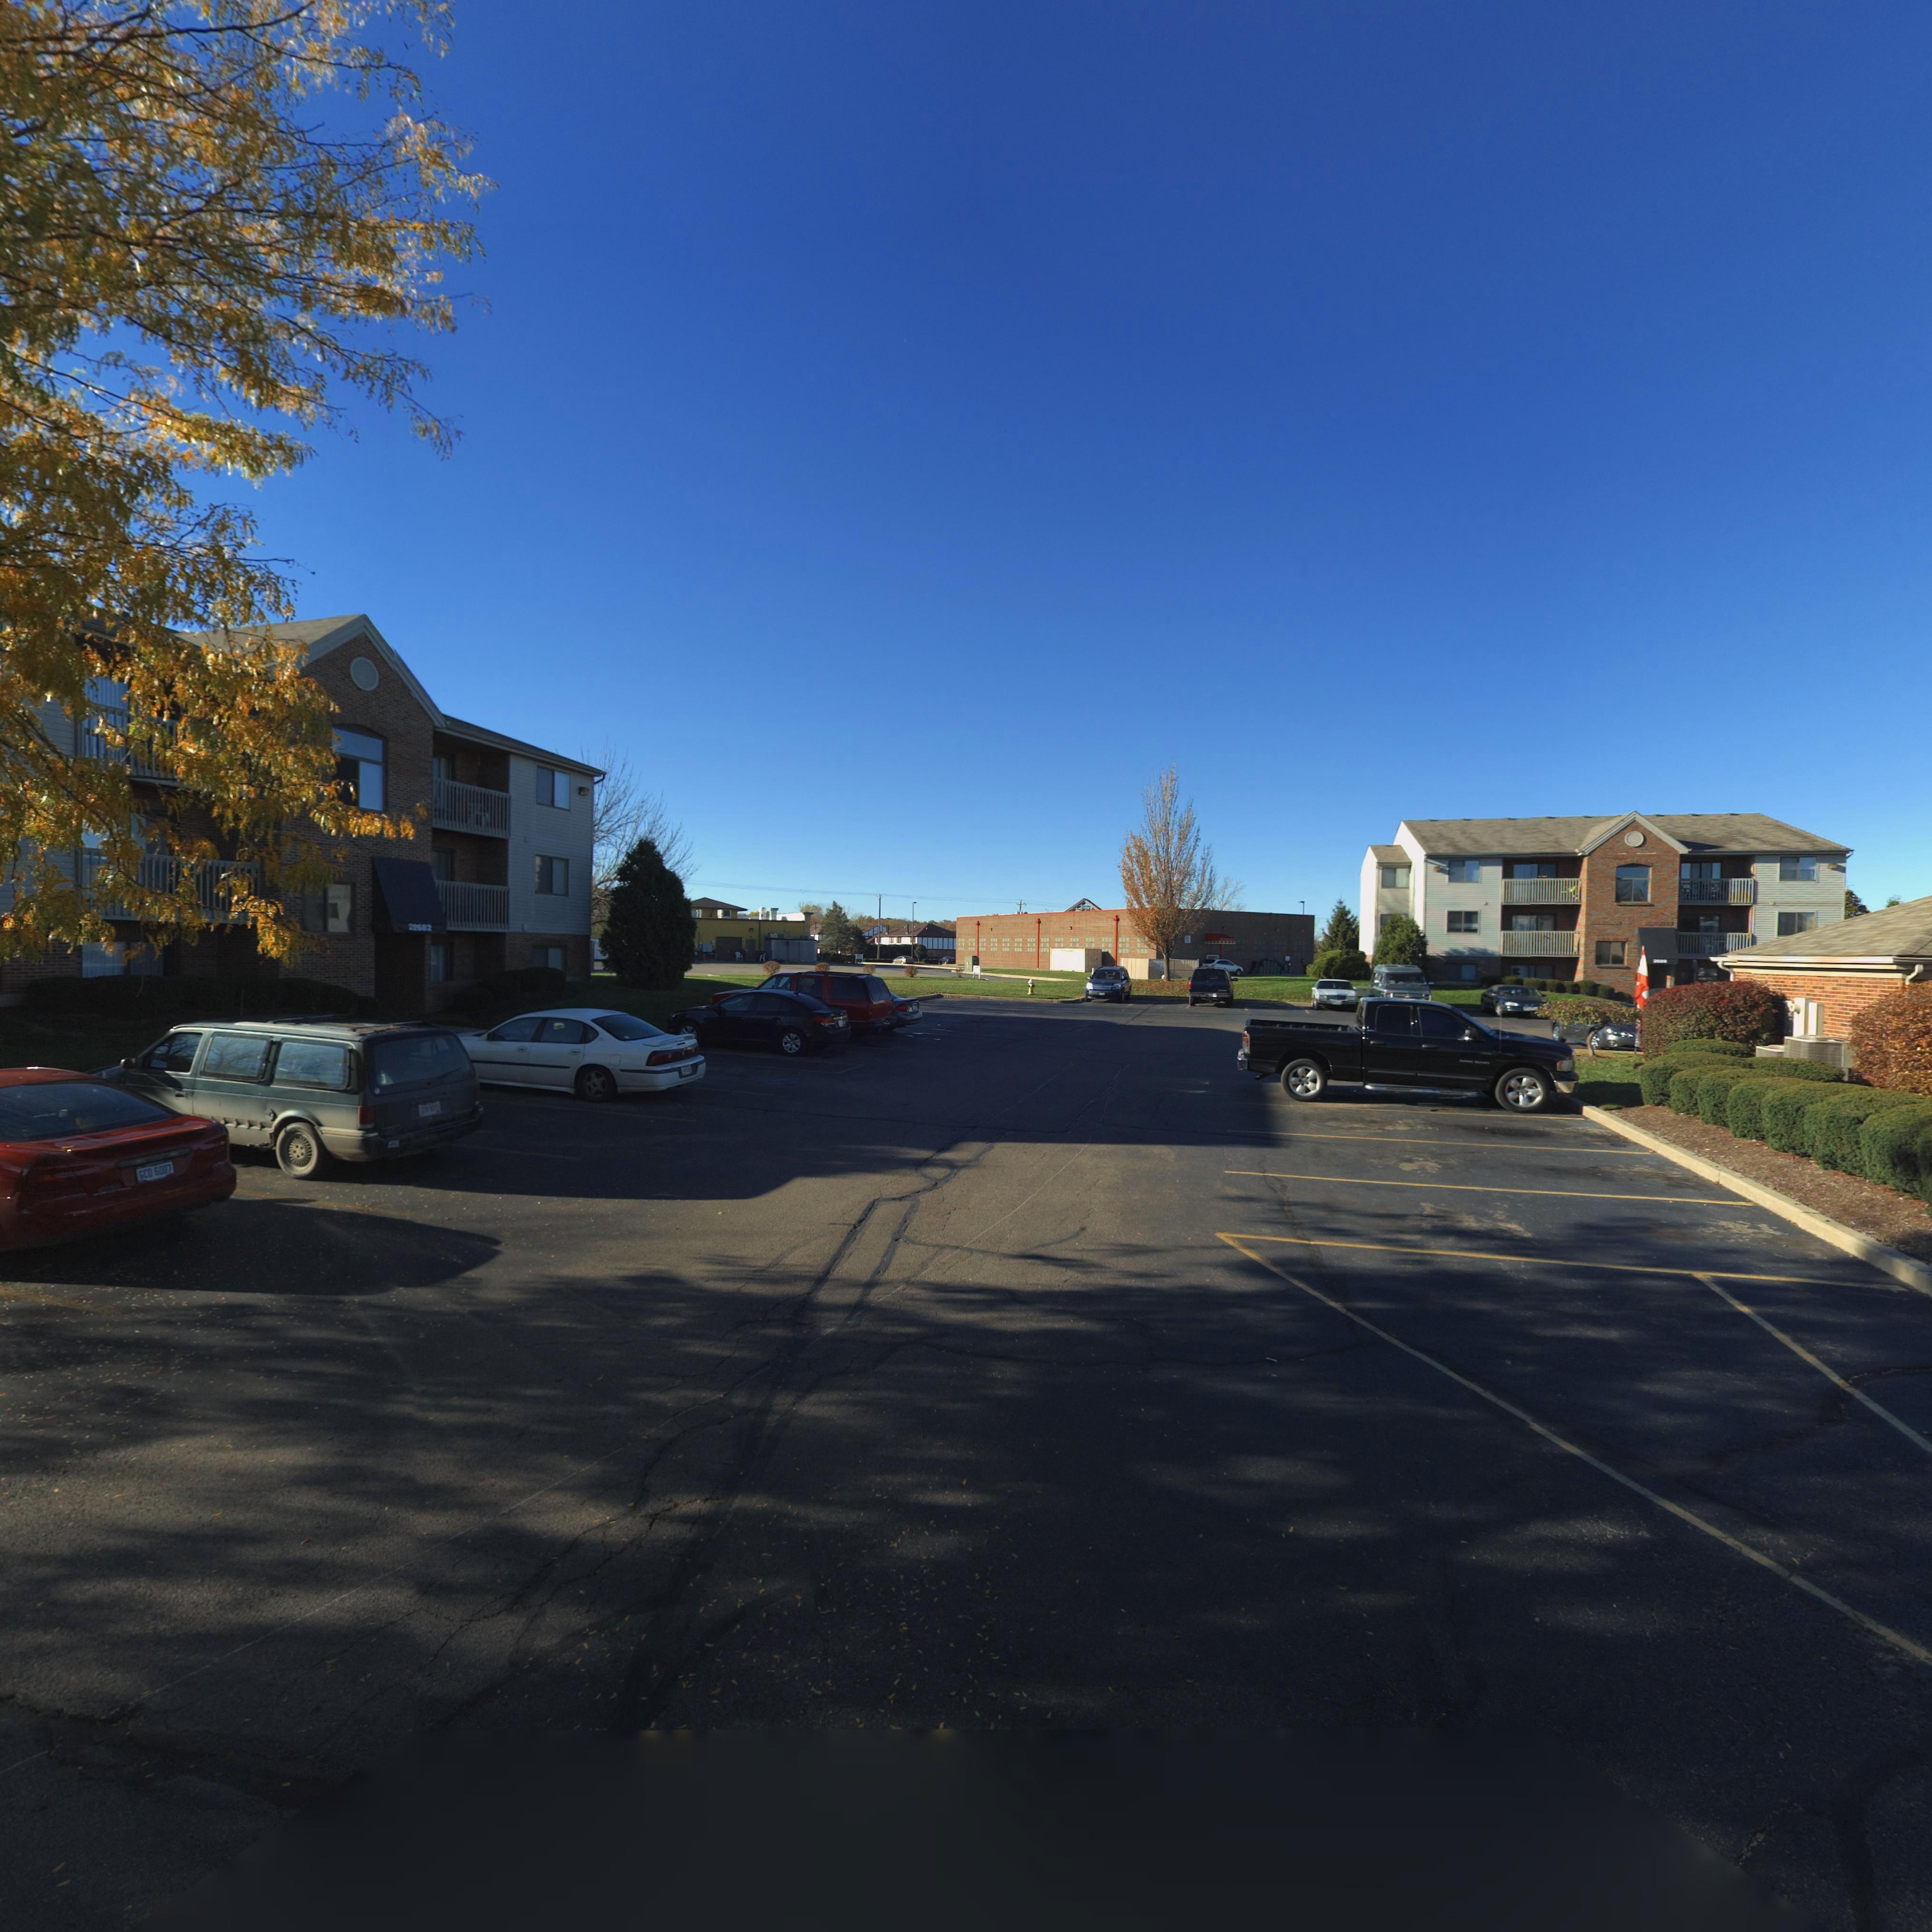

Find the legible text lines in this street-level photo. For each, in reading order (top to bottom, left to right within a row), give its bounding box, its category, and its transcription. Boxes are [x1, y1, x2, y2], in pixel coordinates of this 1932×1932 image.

[407, 923, 433, 932] StreetNumber: 2*682